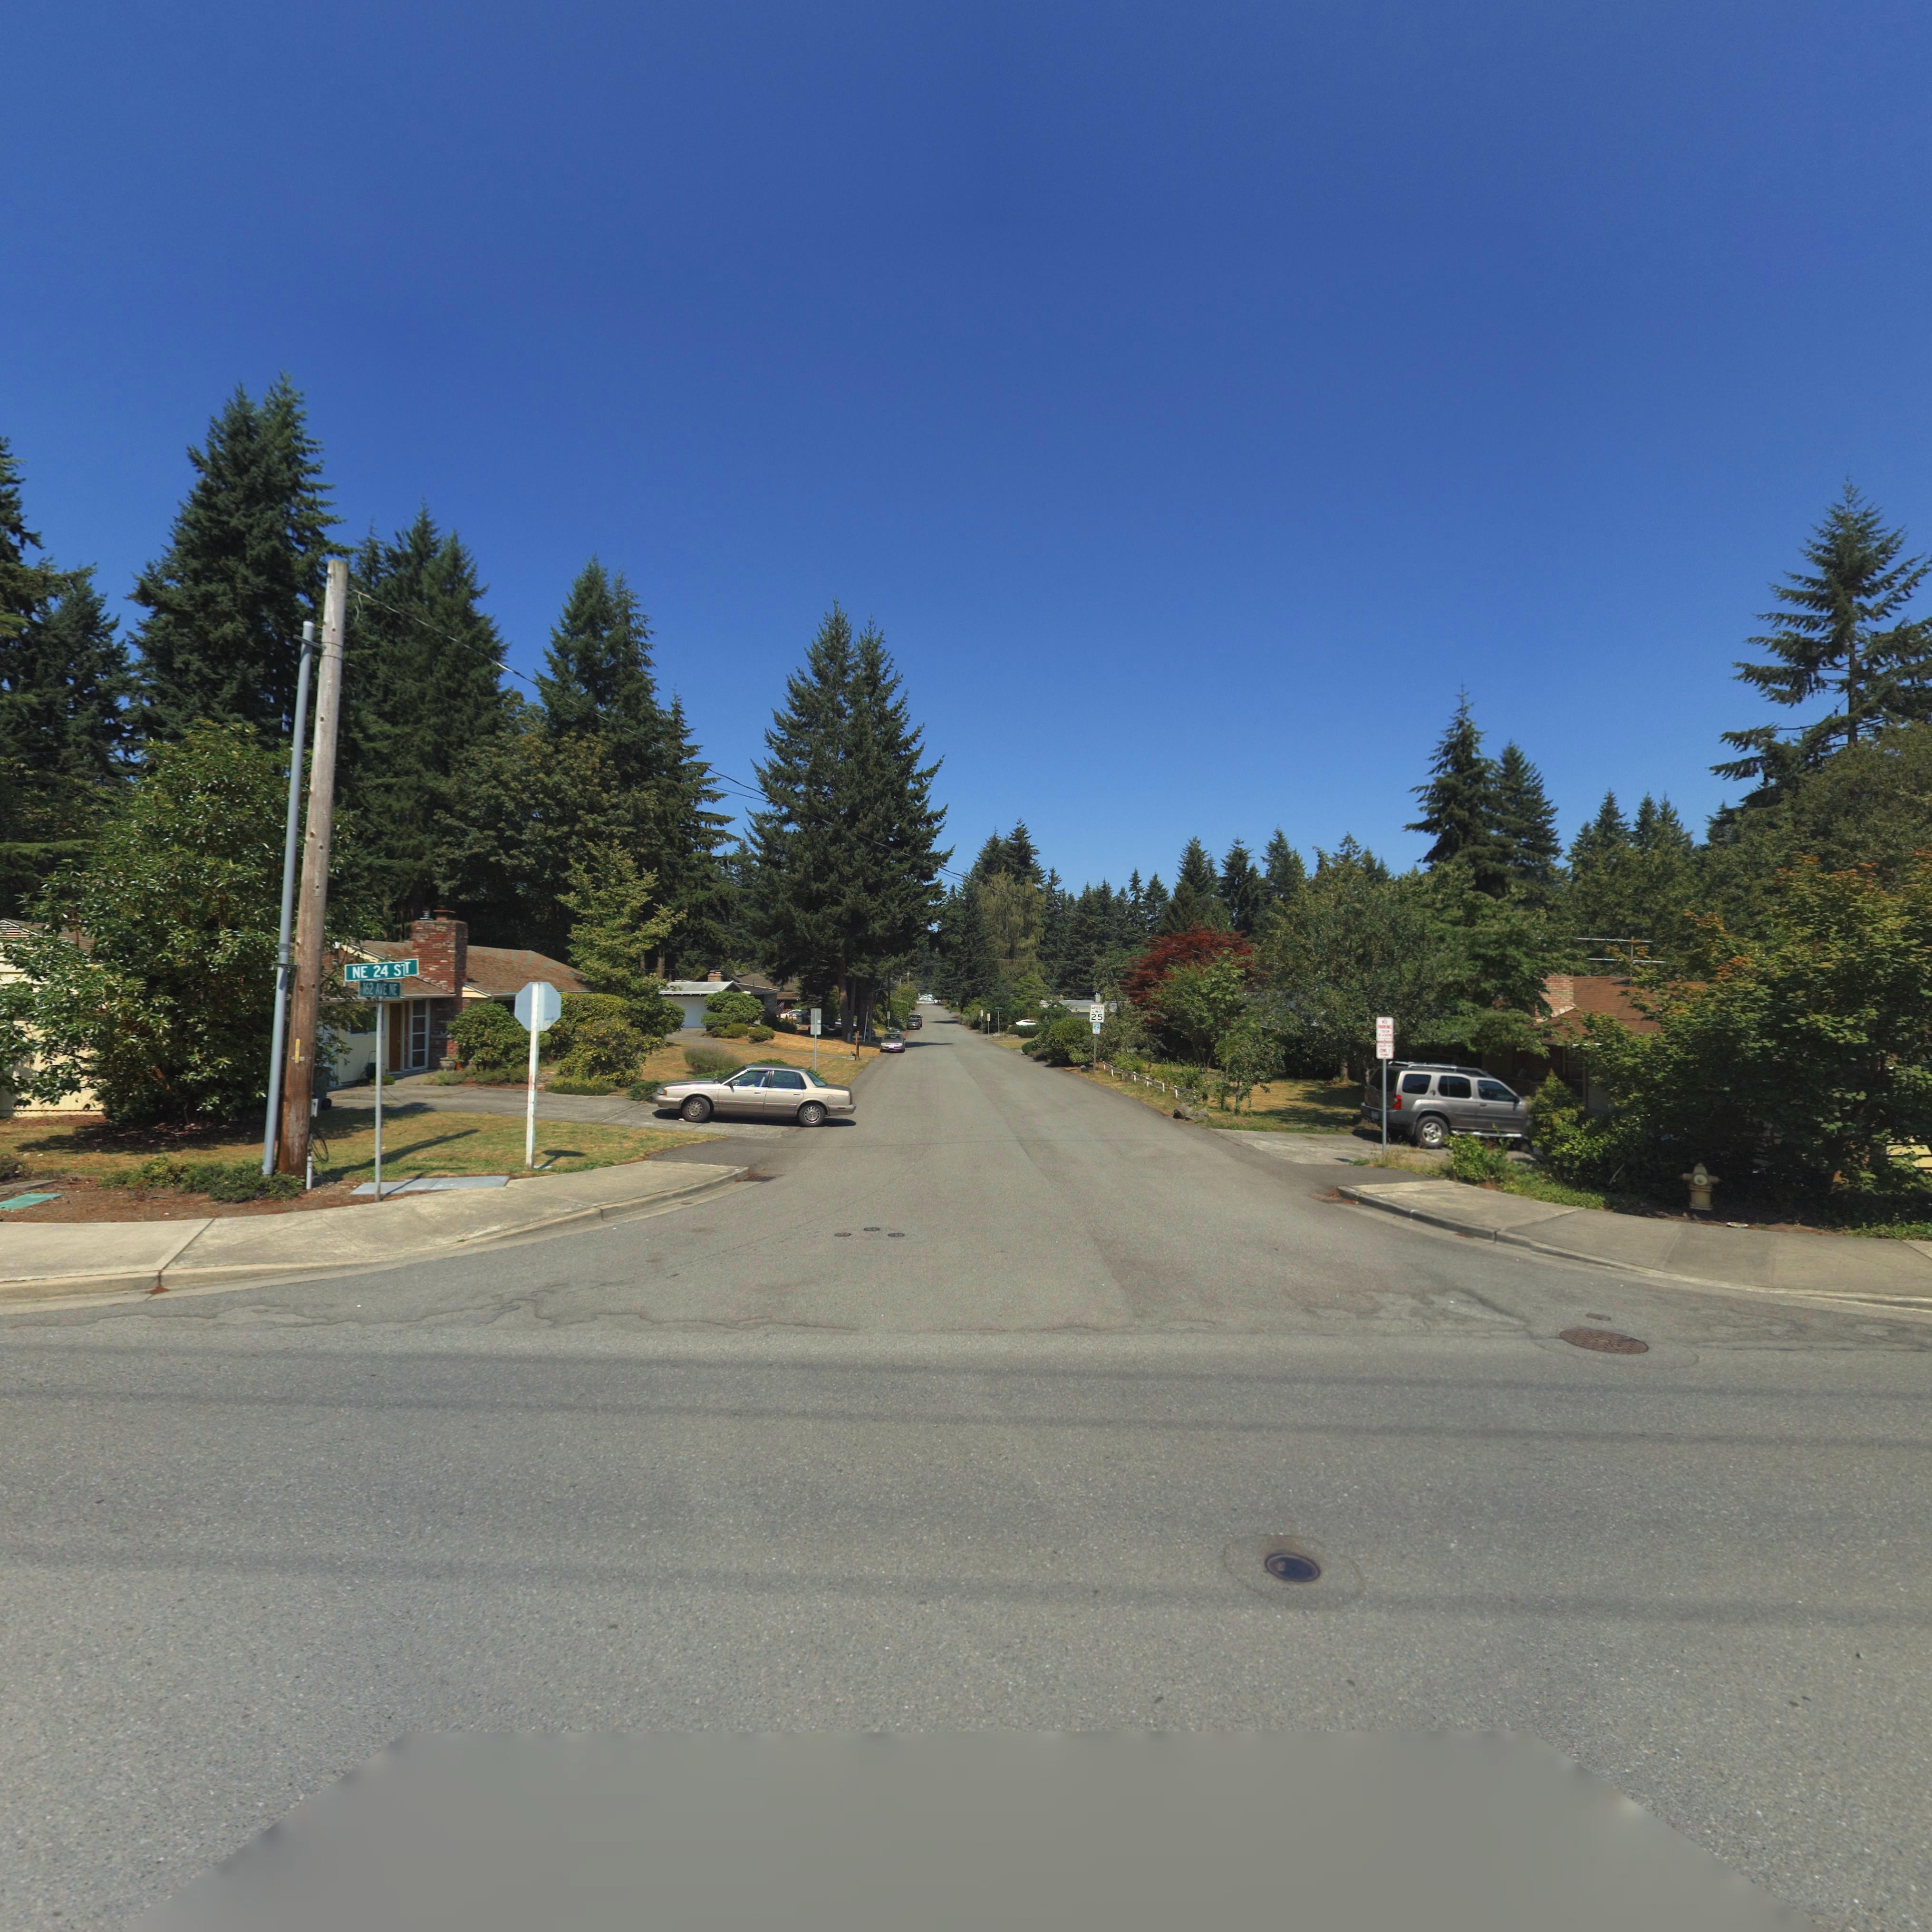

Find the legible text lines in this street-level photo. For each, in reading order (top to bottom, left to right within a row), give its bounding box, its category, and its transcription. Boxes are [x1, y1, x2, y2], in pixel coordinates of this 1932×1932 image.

[353, 962, 410, 978] StreetName: NE 24 S*T
[362, 982, 397, 996] StreetName: 162 AVE NE